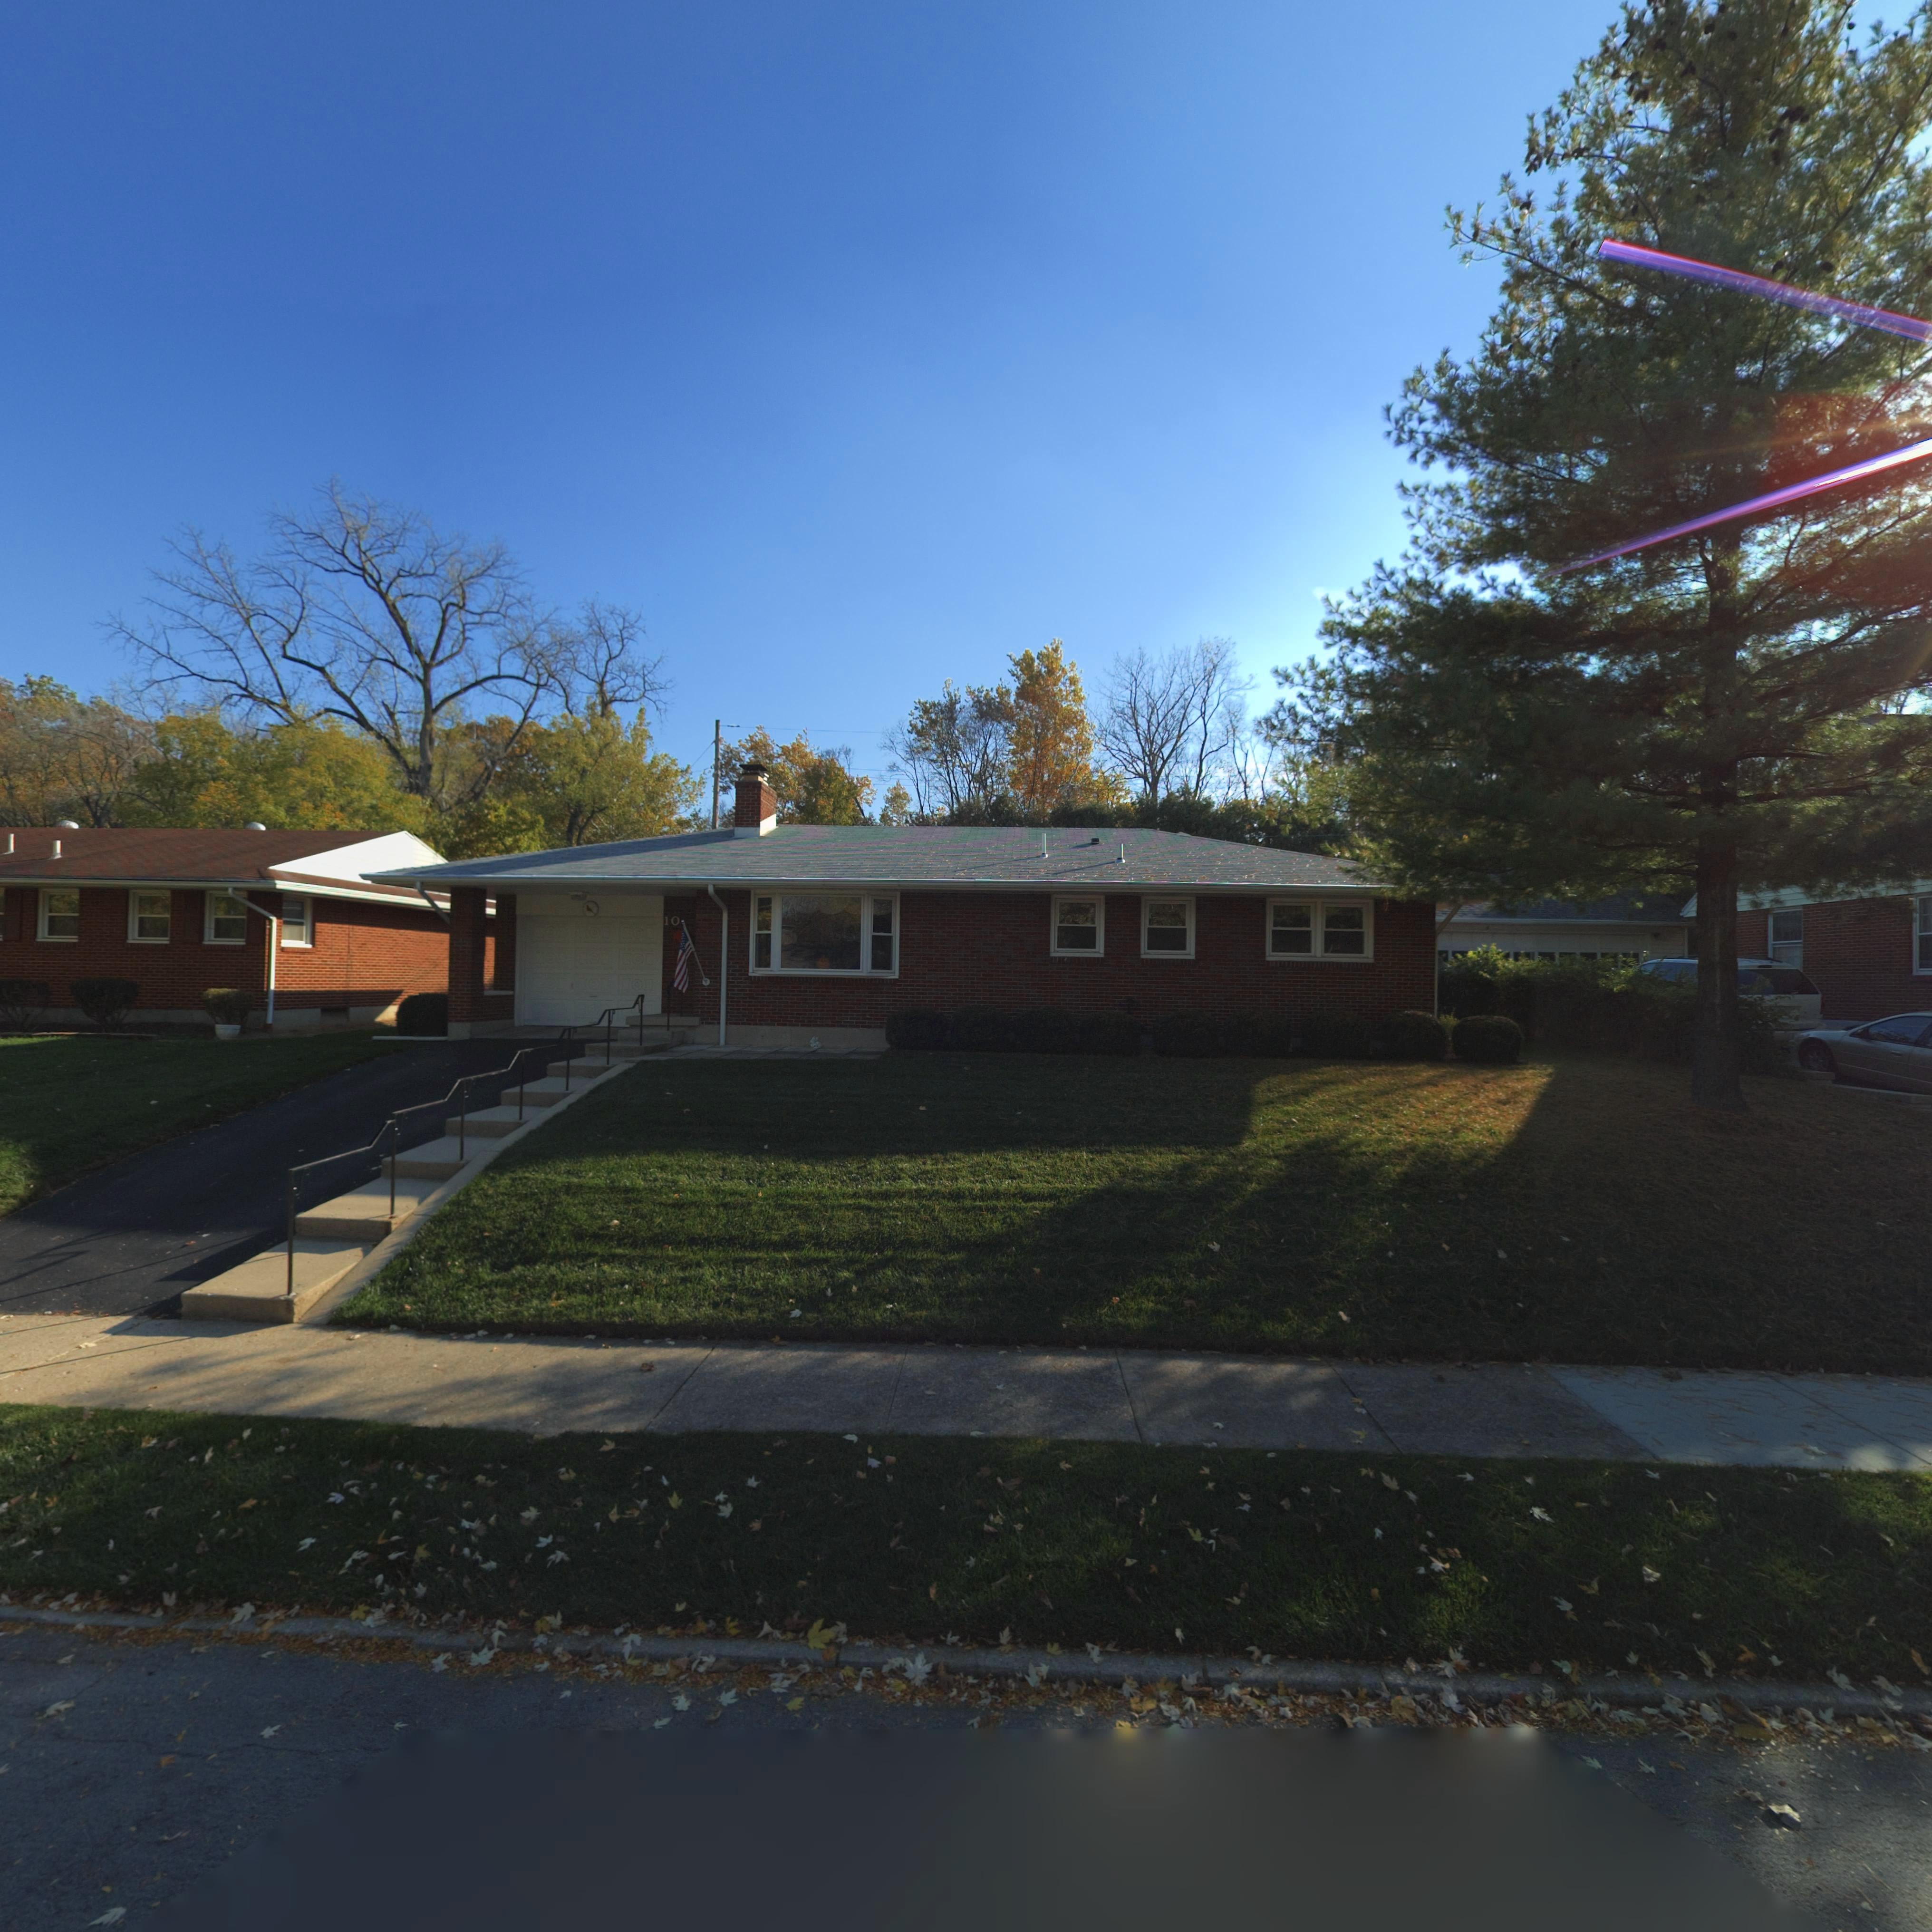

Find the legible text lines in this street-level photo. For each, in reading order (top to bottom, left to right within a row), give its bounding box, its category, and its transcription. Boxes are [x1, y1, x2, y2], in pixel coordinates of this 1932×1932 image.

[664, 915, 680, 926] StreetNumber: 10